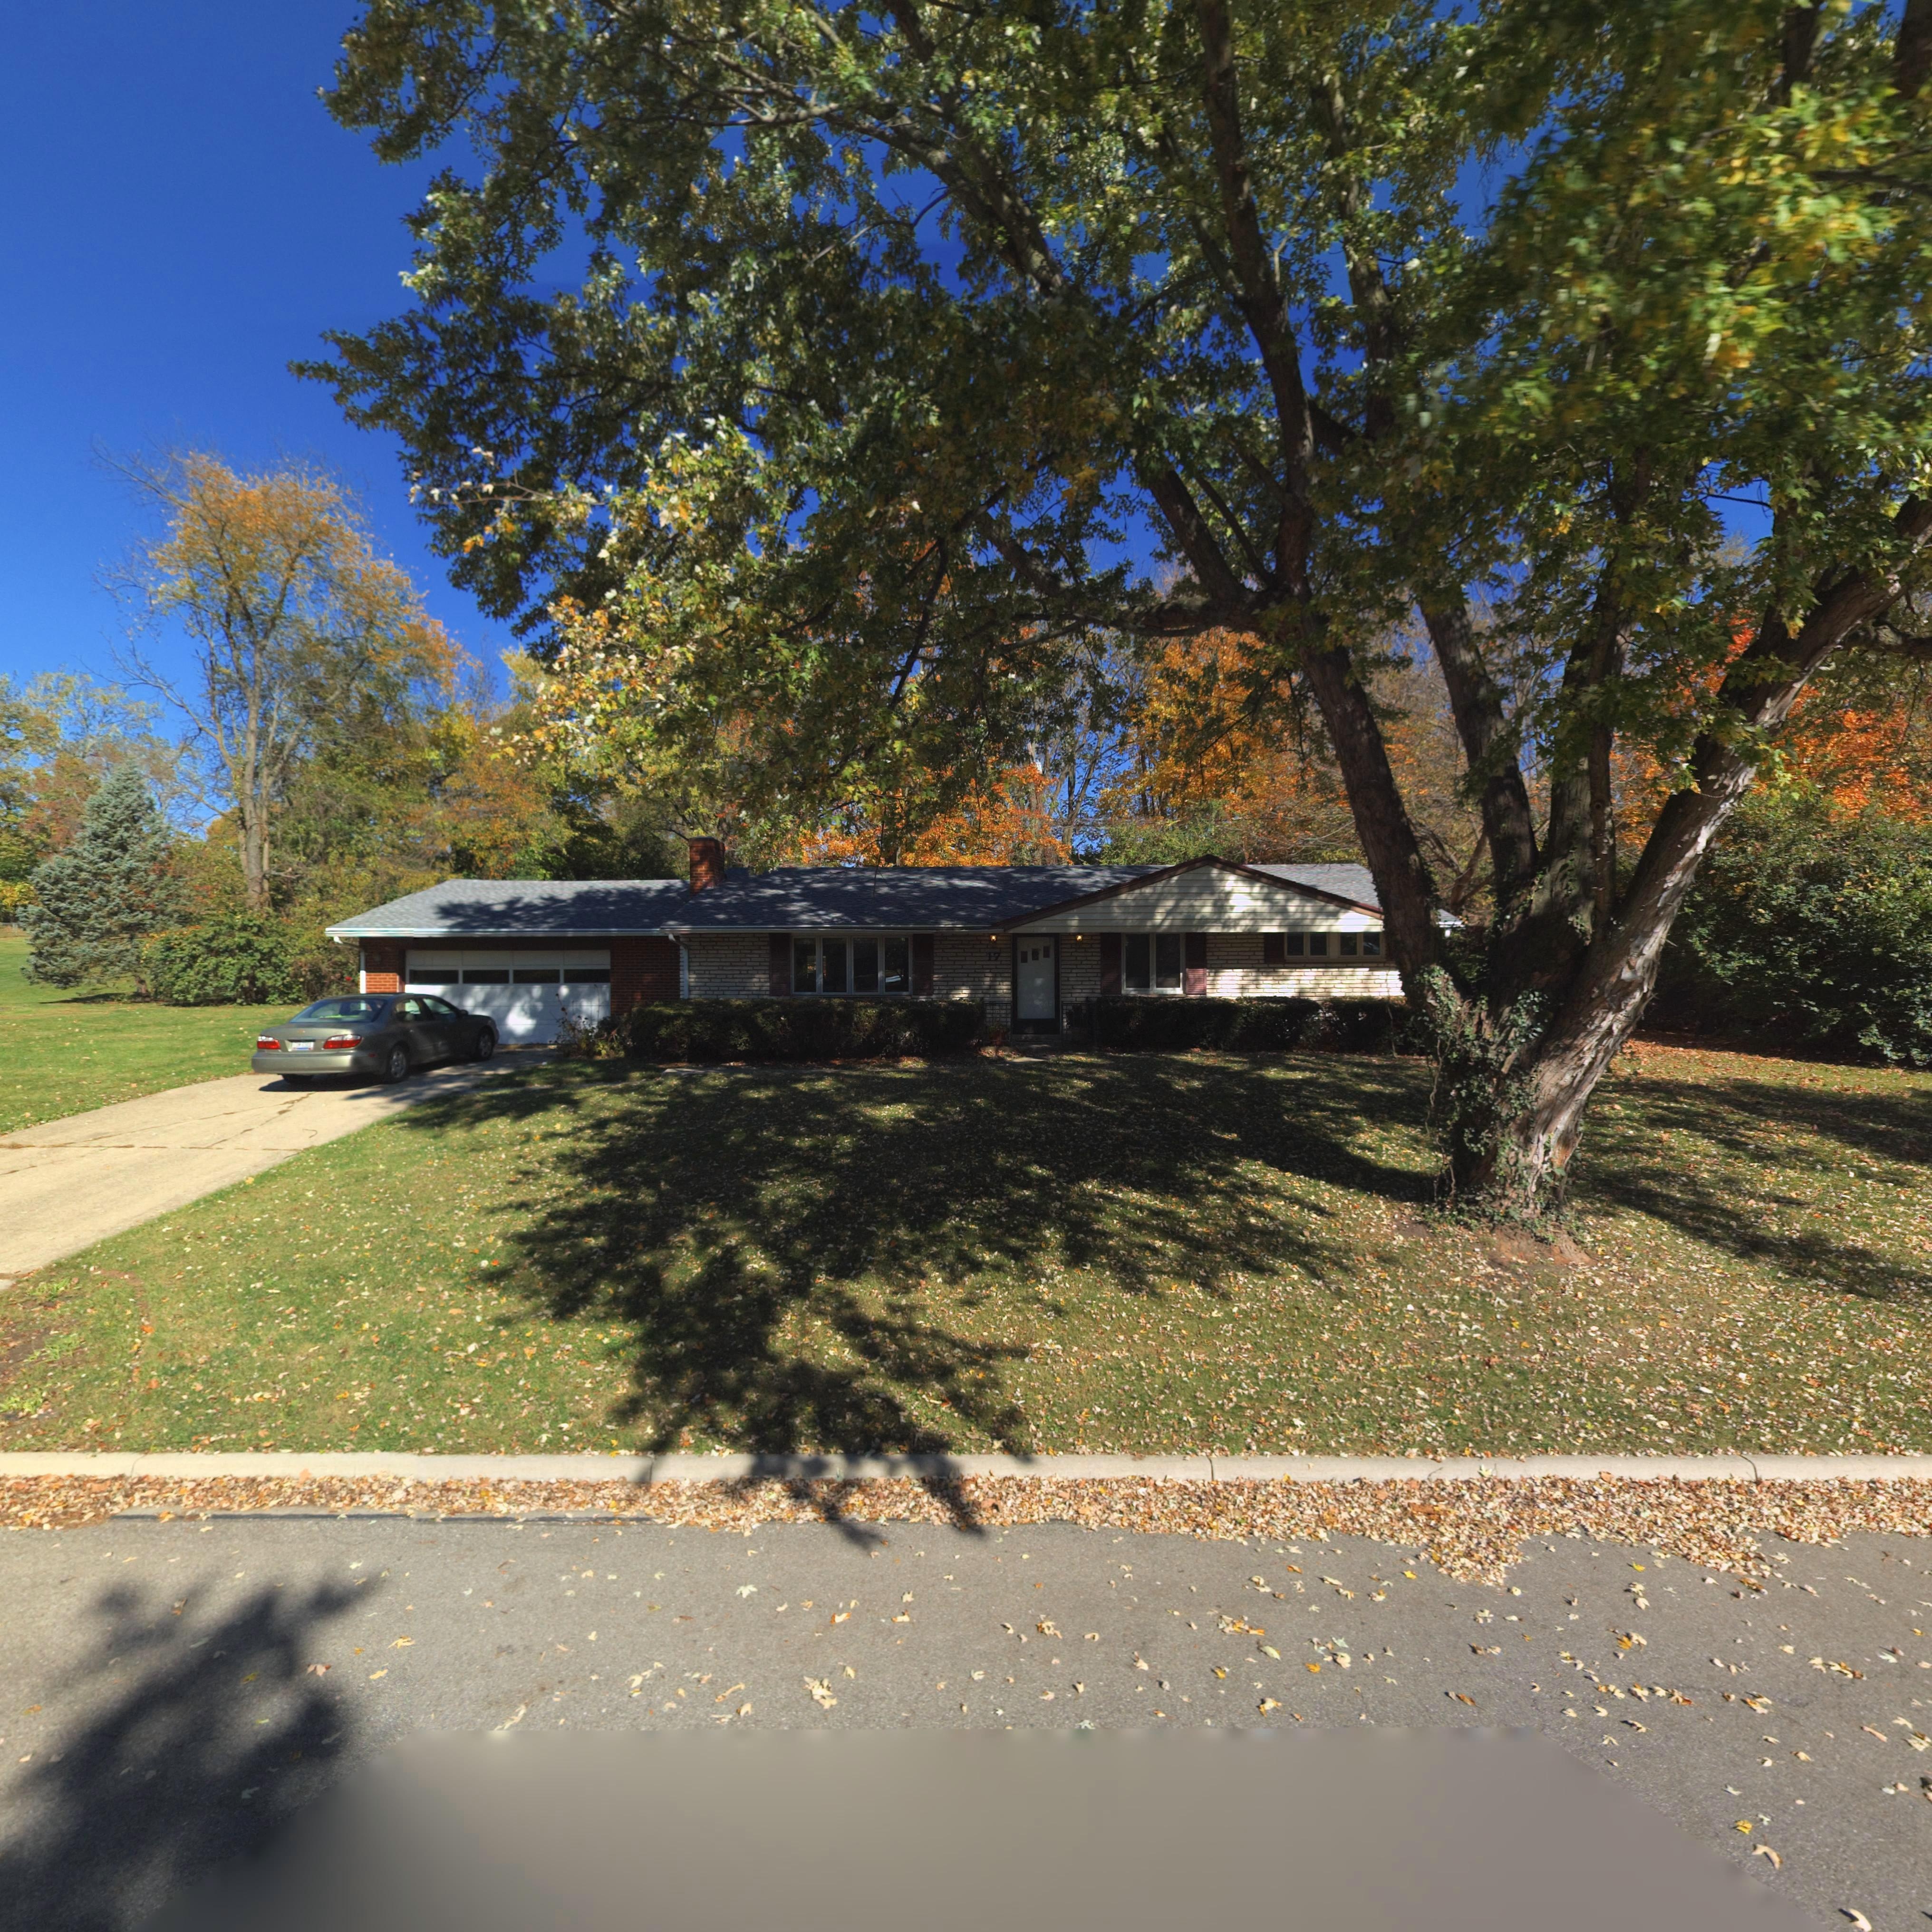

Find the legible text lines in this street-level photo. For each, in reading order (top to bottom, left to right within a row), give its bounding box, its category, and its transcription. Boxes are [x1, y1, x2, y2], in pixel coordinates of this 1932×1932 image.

[986, 951, 1001, 961] StreetNumber: 17